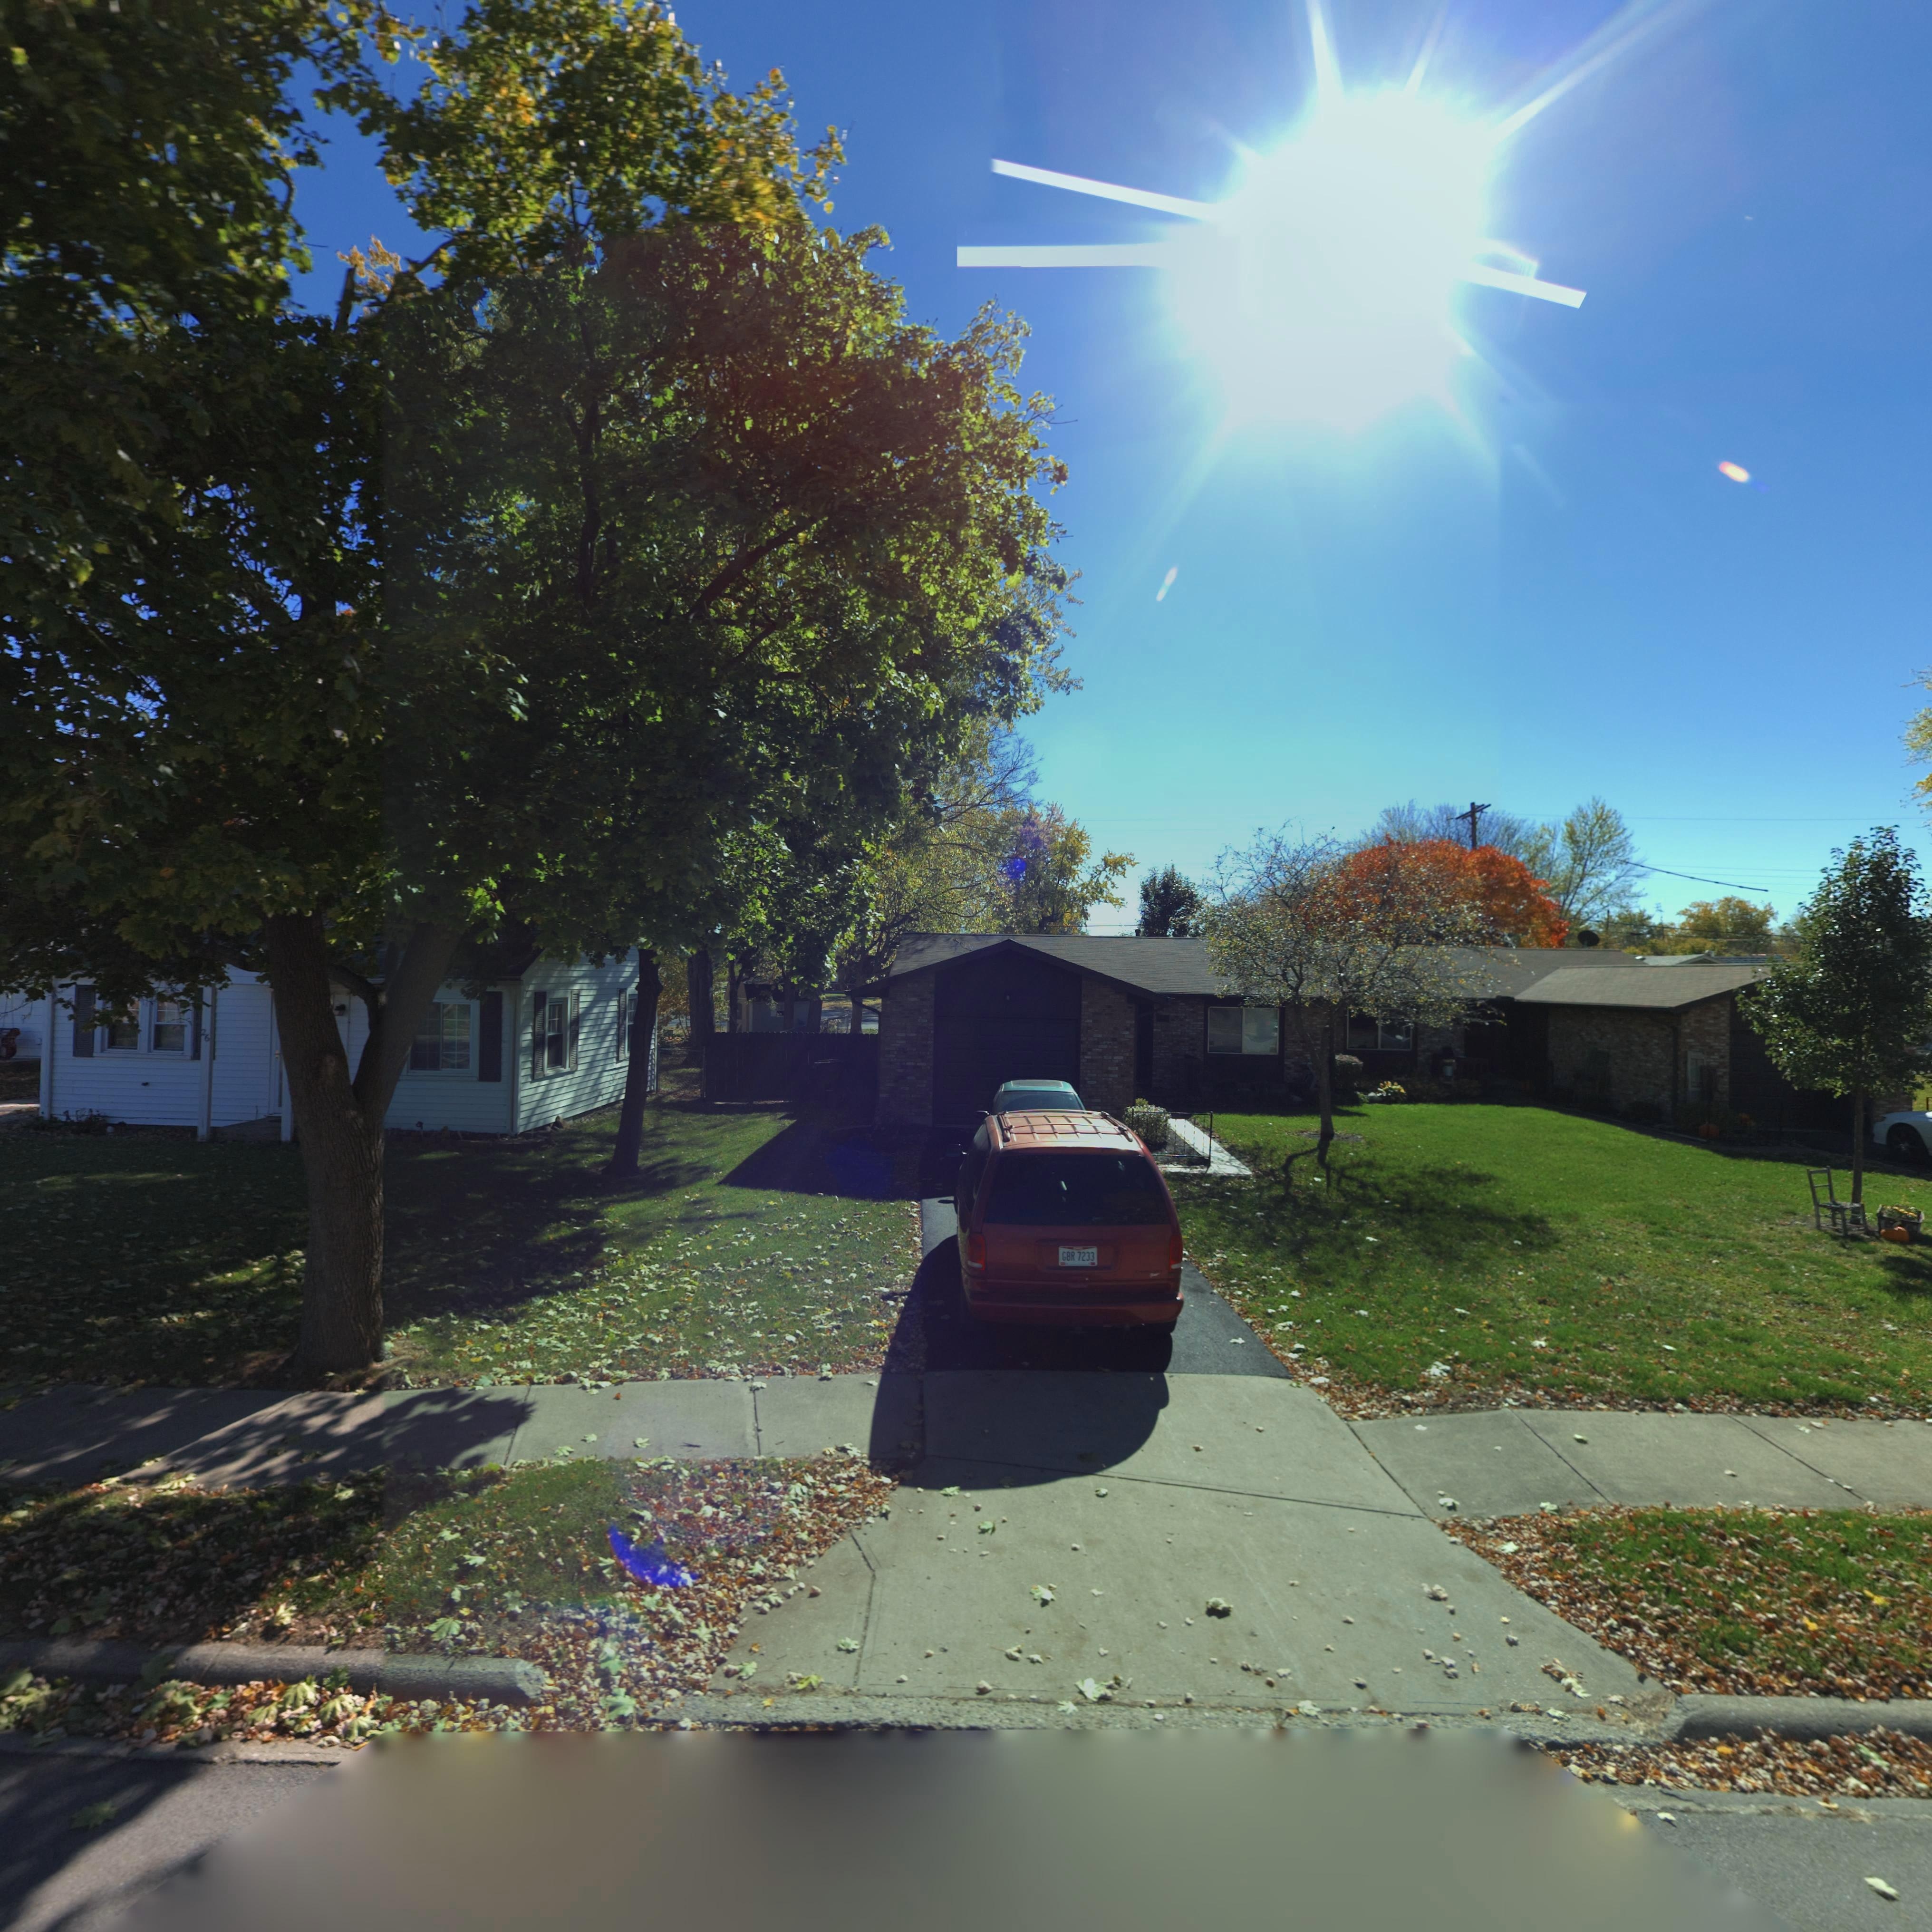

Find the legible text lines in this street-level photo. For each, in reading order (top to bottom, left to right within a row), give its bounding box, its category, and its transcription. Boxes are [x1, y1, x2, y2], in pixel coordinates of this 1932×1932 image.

[200, 1027, 211, 1043] StreetNumber: 26
[1061, 1251, 1095, 1262] None: GBR*7233